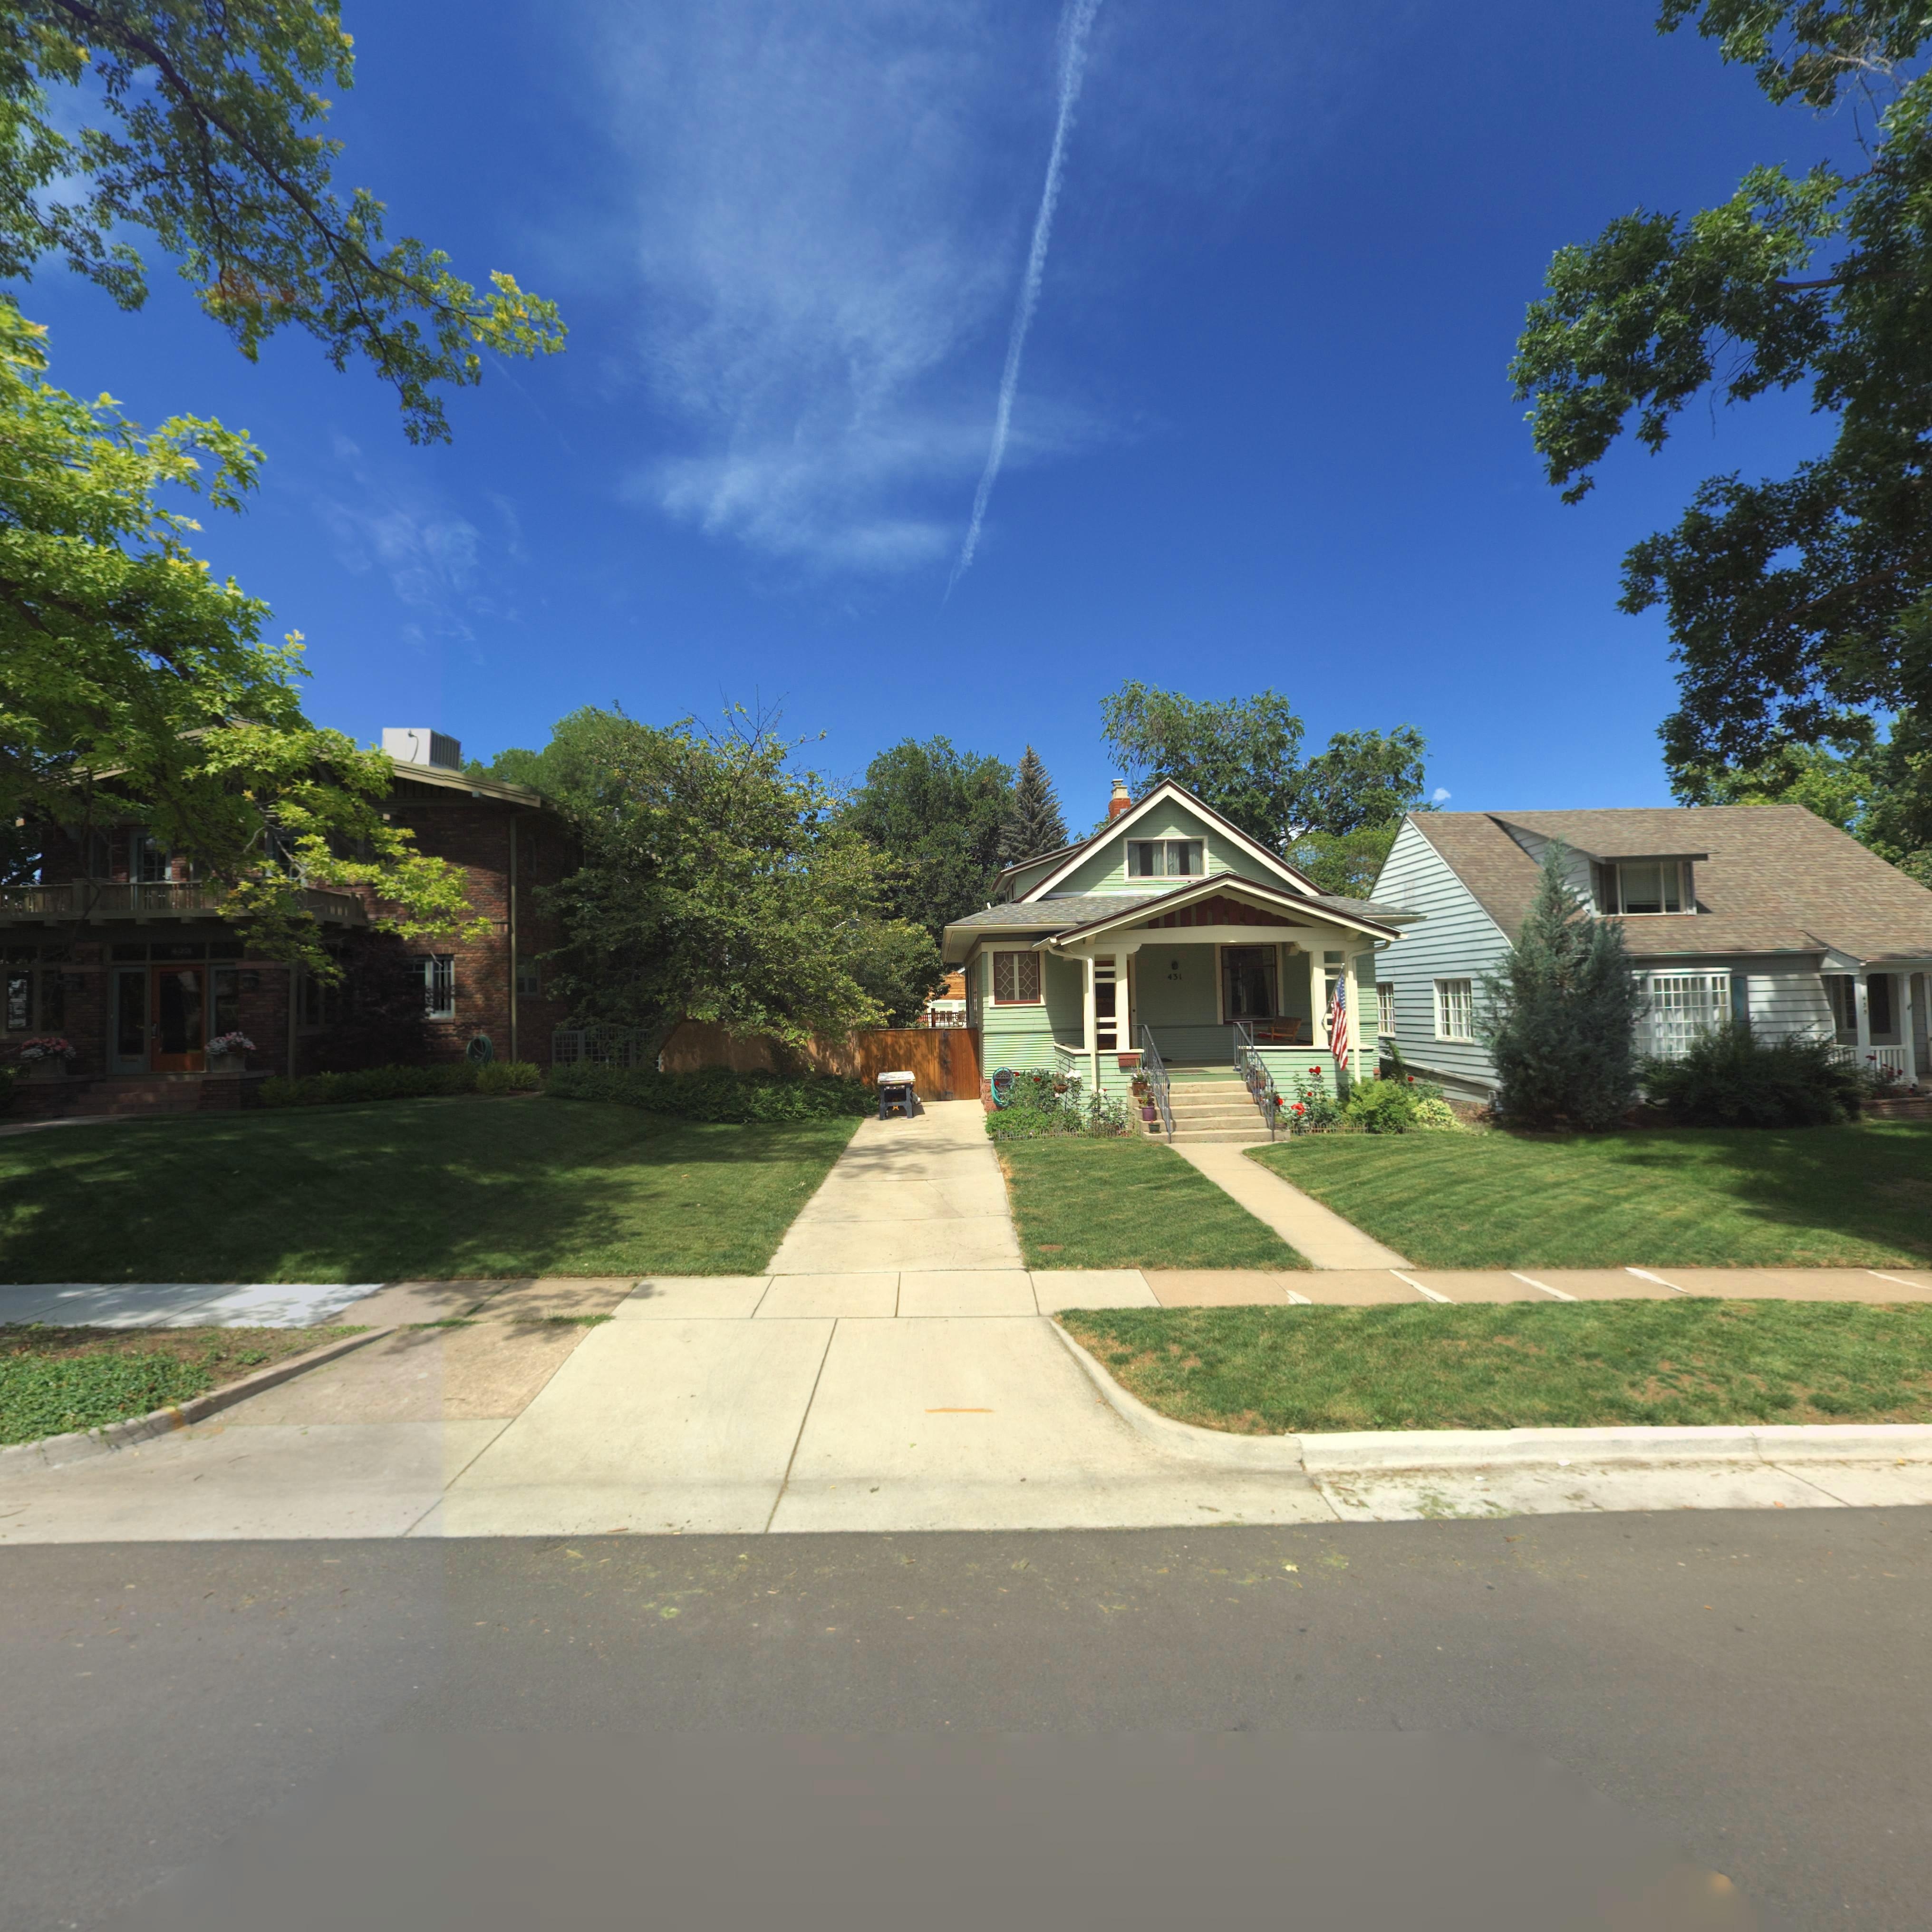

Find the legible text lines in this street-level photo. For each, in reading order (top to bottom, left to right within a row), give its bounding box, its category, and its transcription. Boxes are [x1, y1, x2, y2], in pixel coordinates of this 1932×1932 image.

[172, 947, 191, 955] StreetNumber: **3
[1167, 973, 1182, 980] StreetNumber: 431
[1862, 995, 1867, 1015] StreetNumber: 42*